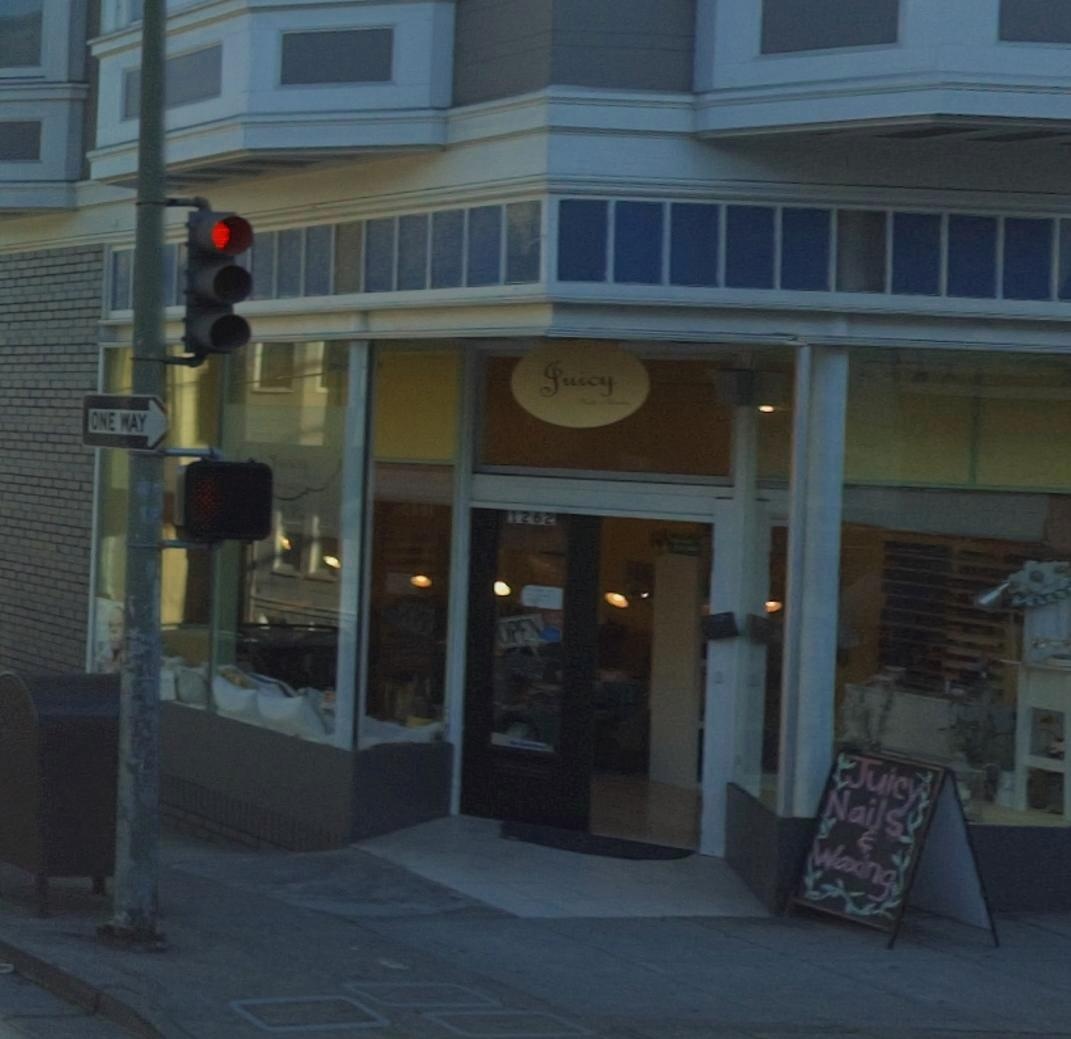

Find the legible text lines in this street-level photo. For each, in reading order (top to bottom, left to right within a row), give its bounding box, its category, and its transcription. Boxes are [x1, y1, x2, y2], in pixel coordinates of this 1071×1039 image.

[536, 357, 618, 399] BusinessName: Juicy
[90, 410, 150, 435] None: ONE WAY
[508, 509, 557, 527] StreetNumber: 1262
[495, 615, 544, 647] None: OPEN
[841, 751, 930, 813] BusinessName: Juicy
[822, 787, 909, 840] None: Nails
[811, 838, 901, 903] None: Waxing